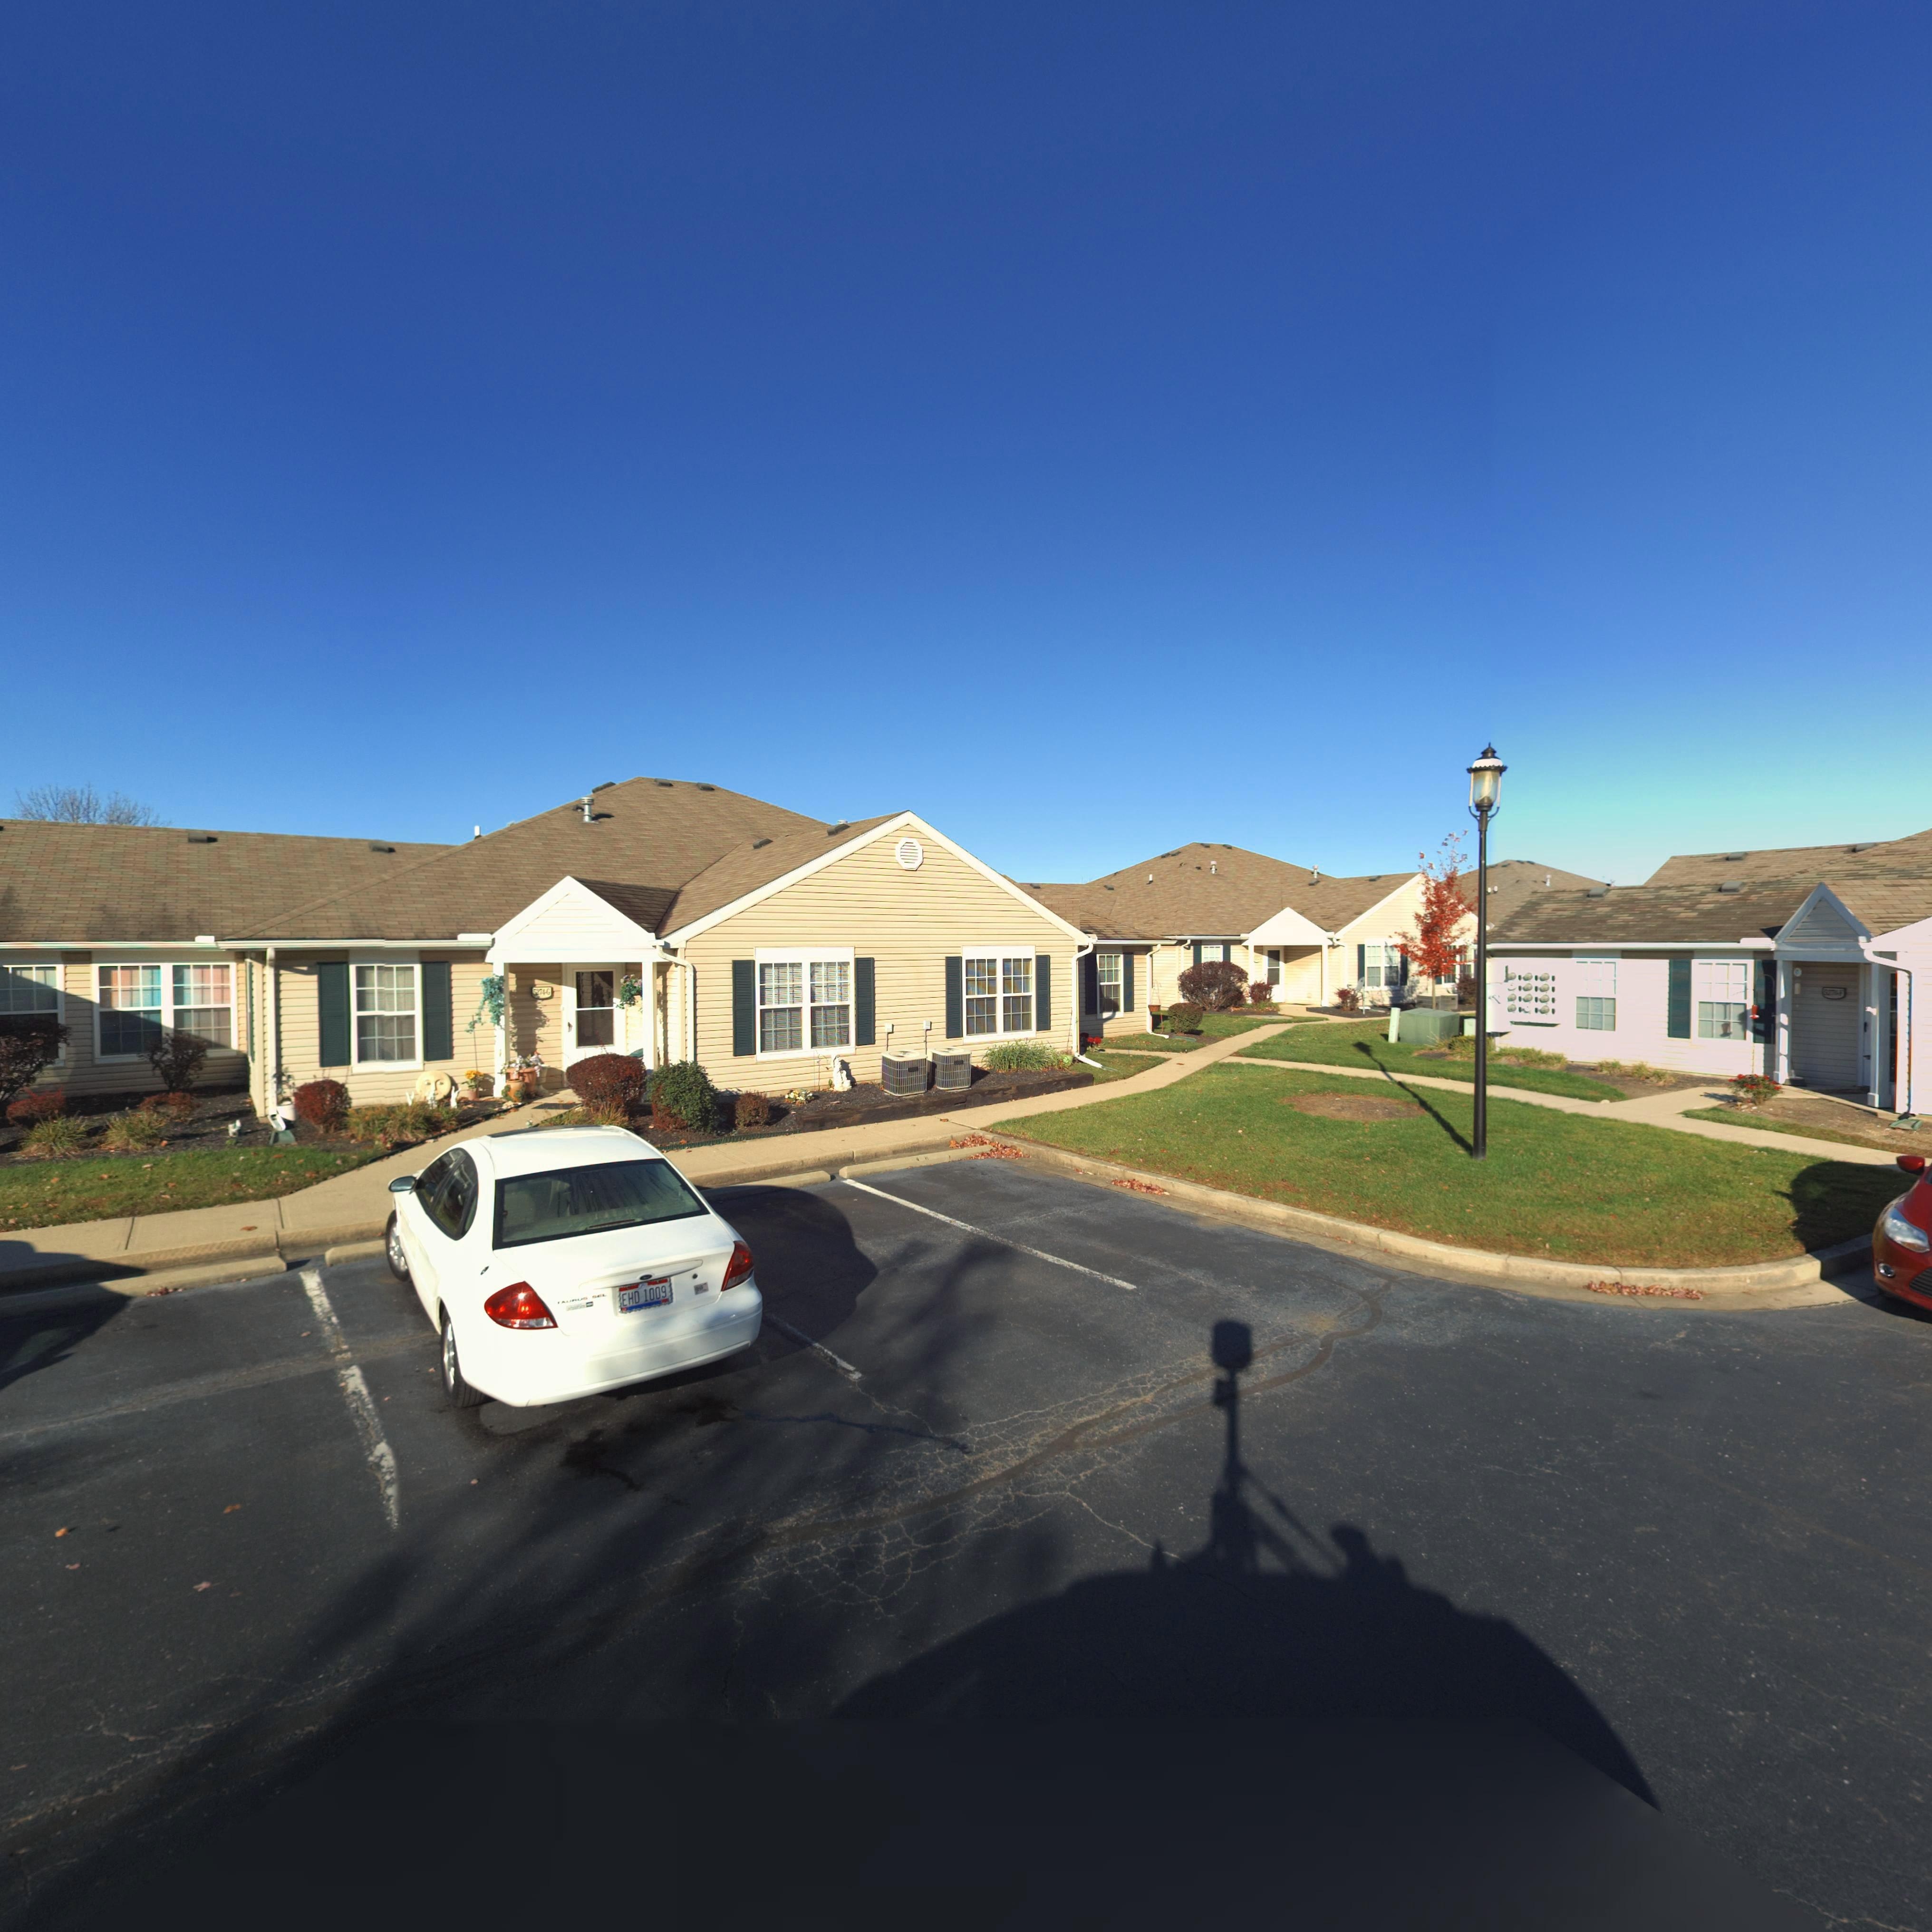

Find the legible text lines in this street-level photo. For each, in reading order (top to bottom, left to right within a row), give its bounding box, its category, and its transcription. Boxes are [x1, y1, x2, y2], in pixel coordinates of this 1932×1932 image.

[532, 988, 551, 996] StreetNumber: 5274-G